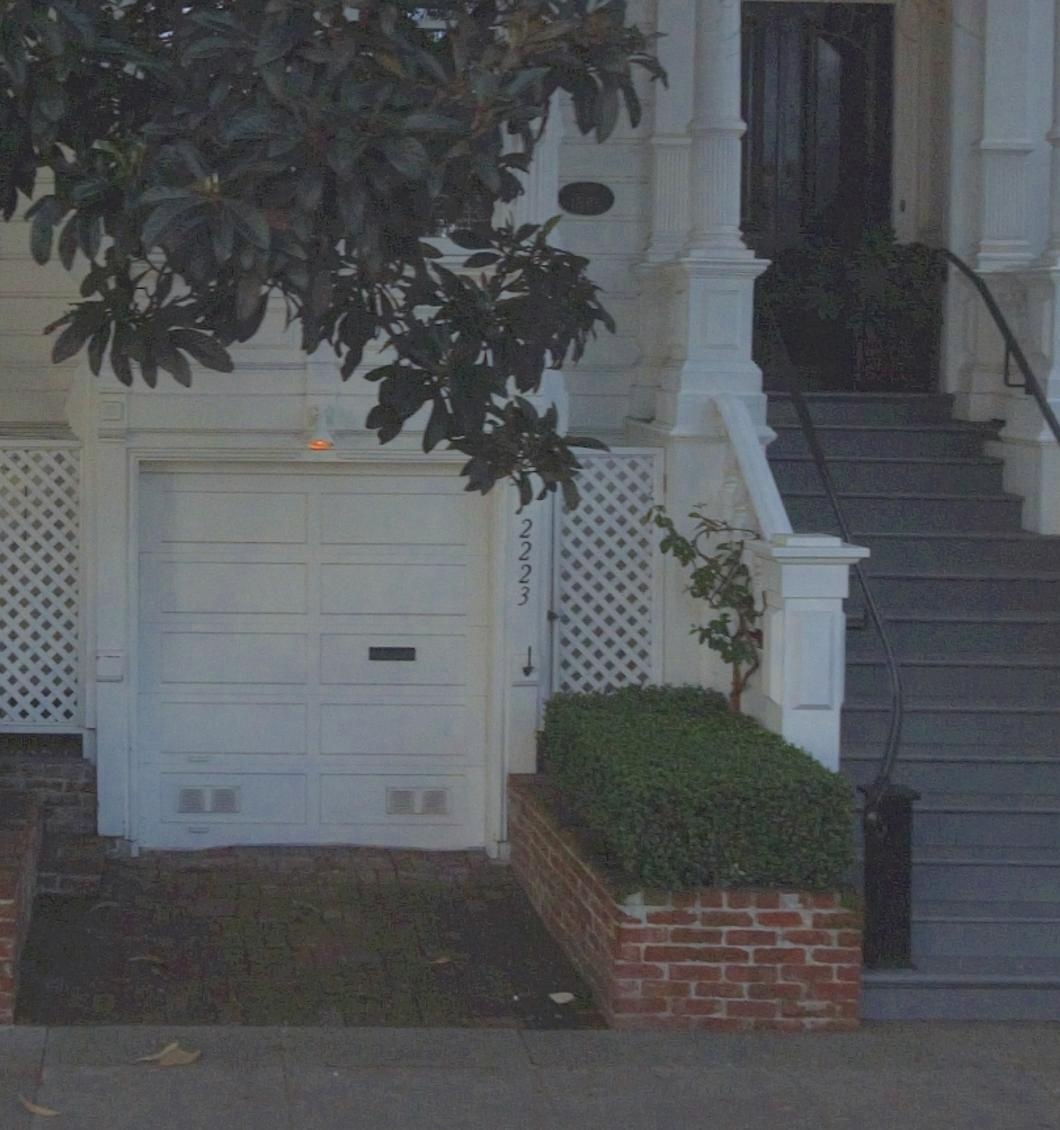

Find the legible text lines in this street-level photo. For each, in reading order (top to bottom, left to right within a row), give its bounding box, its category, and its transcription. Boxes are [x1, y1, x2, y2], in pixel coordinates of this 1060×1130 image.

[515, 516, 534, 608] StreetNumber: 2223